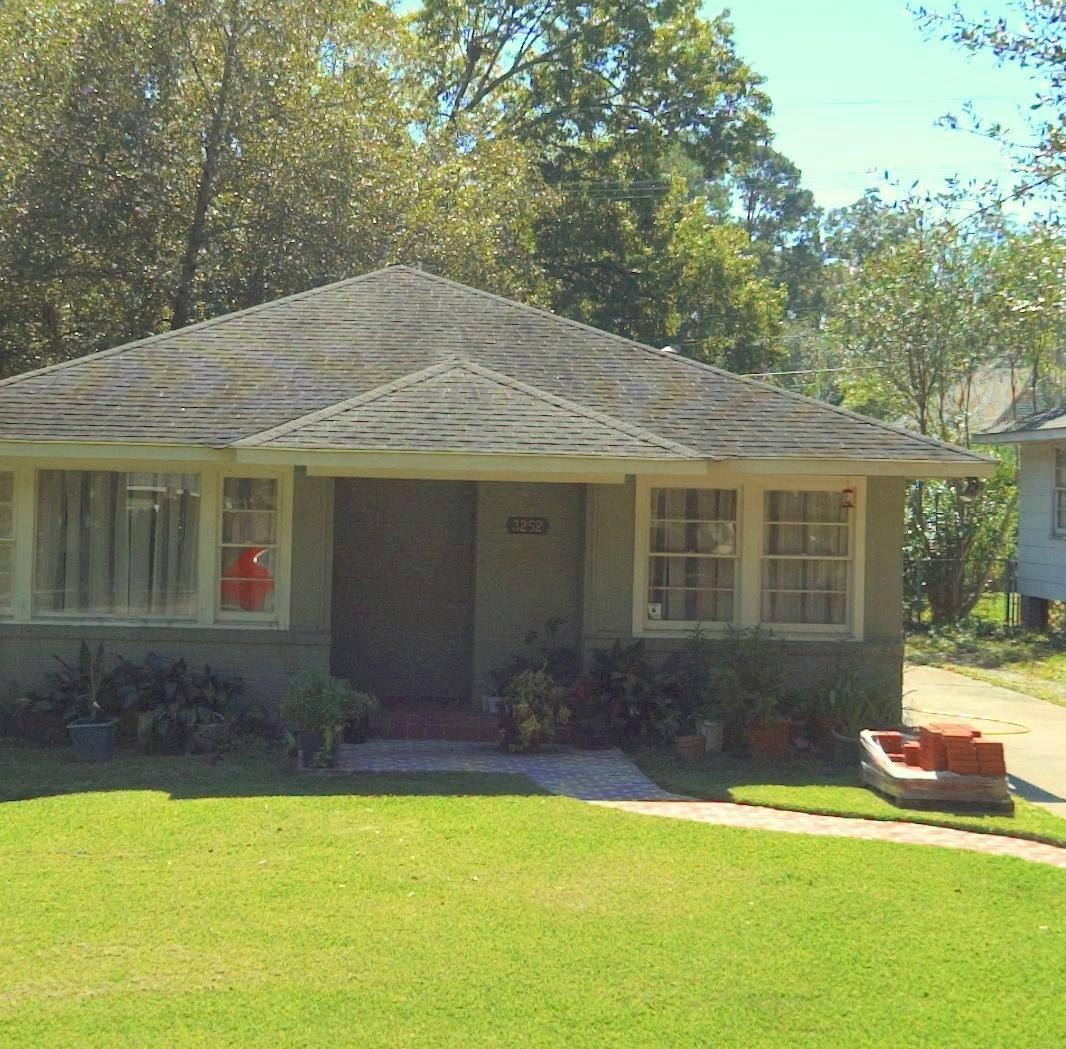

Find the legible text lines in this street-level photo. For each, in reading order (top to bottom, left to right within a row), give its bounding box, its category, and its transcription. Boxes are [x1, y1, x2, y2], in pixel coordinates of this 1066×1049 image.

[511, 518, 544, 534] StreetNumber: 3252